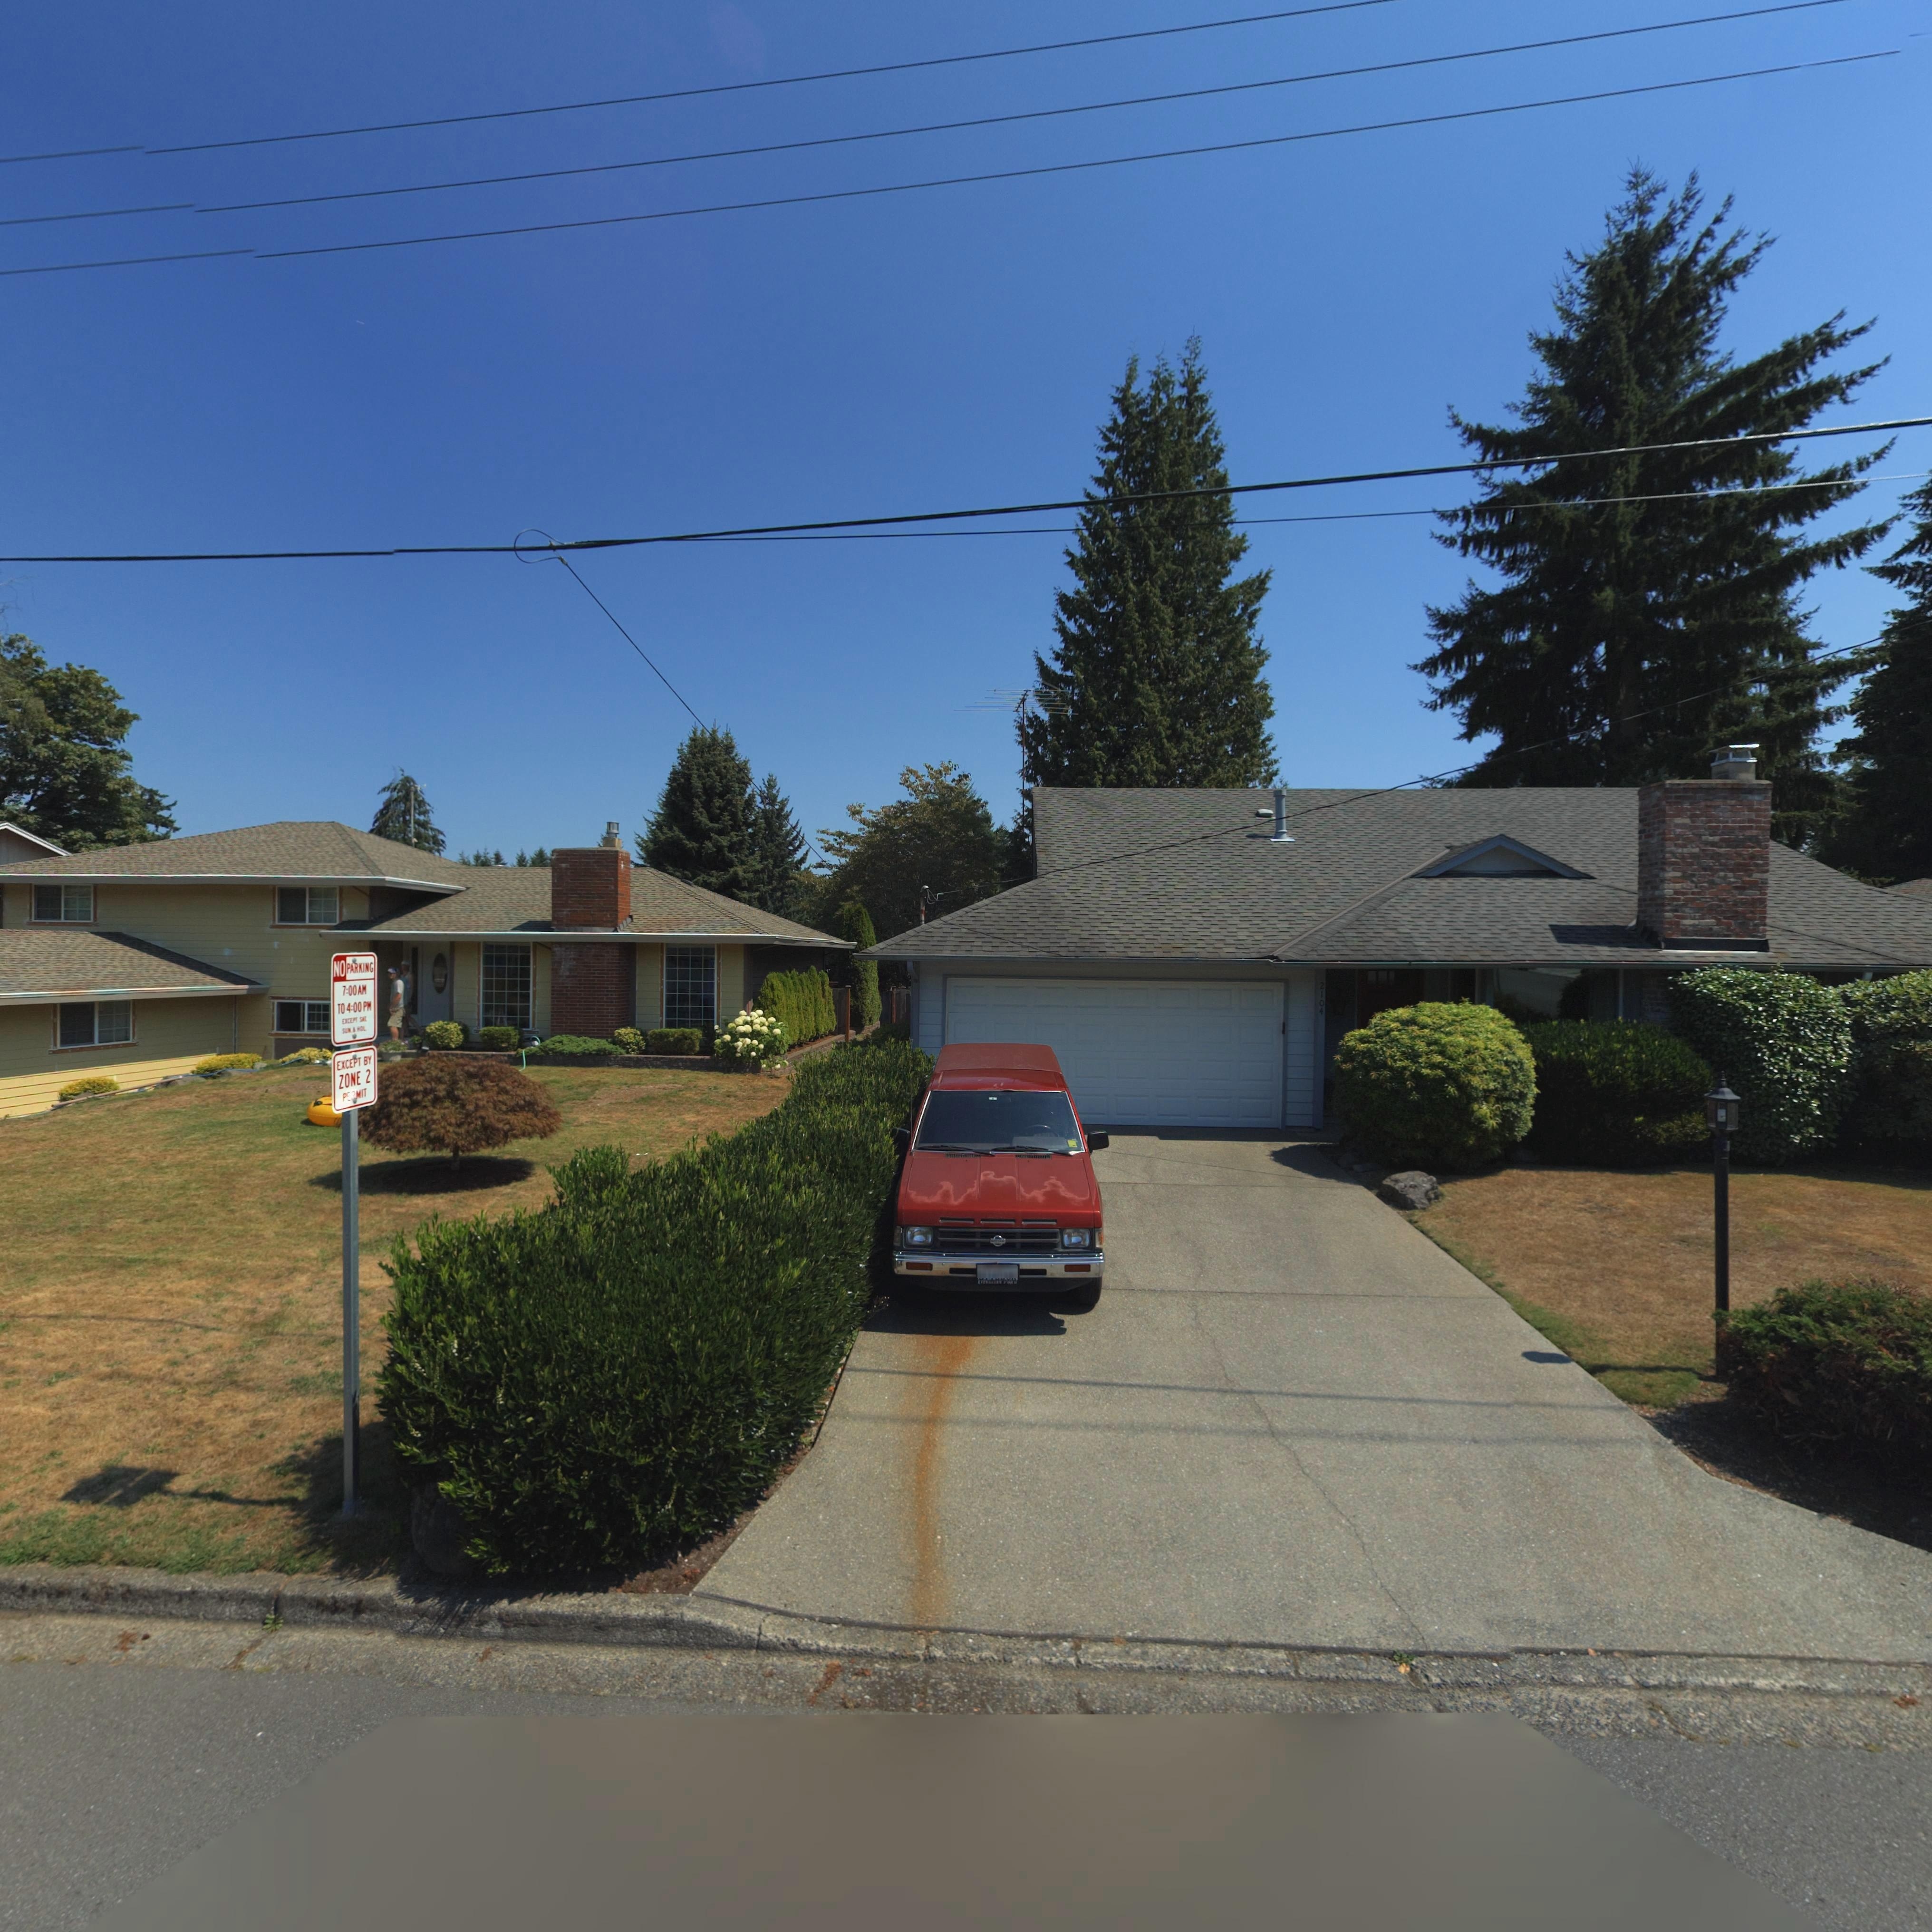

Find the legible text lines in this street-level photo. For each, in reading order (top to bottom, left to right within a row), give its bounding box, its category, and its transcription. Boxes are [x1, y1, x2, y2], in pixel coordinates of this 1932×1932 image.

[1319, 981, 1324, 1014] StreetNumber: 2104